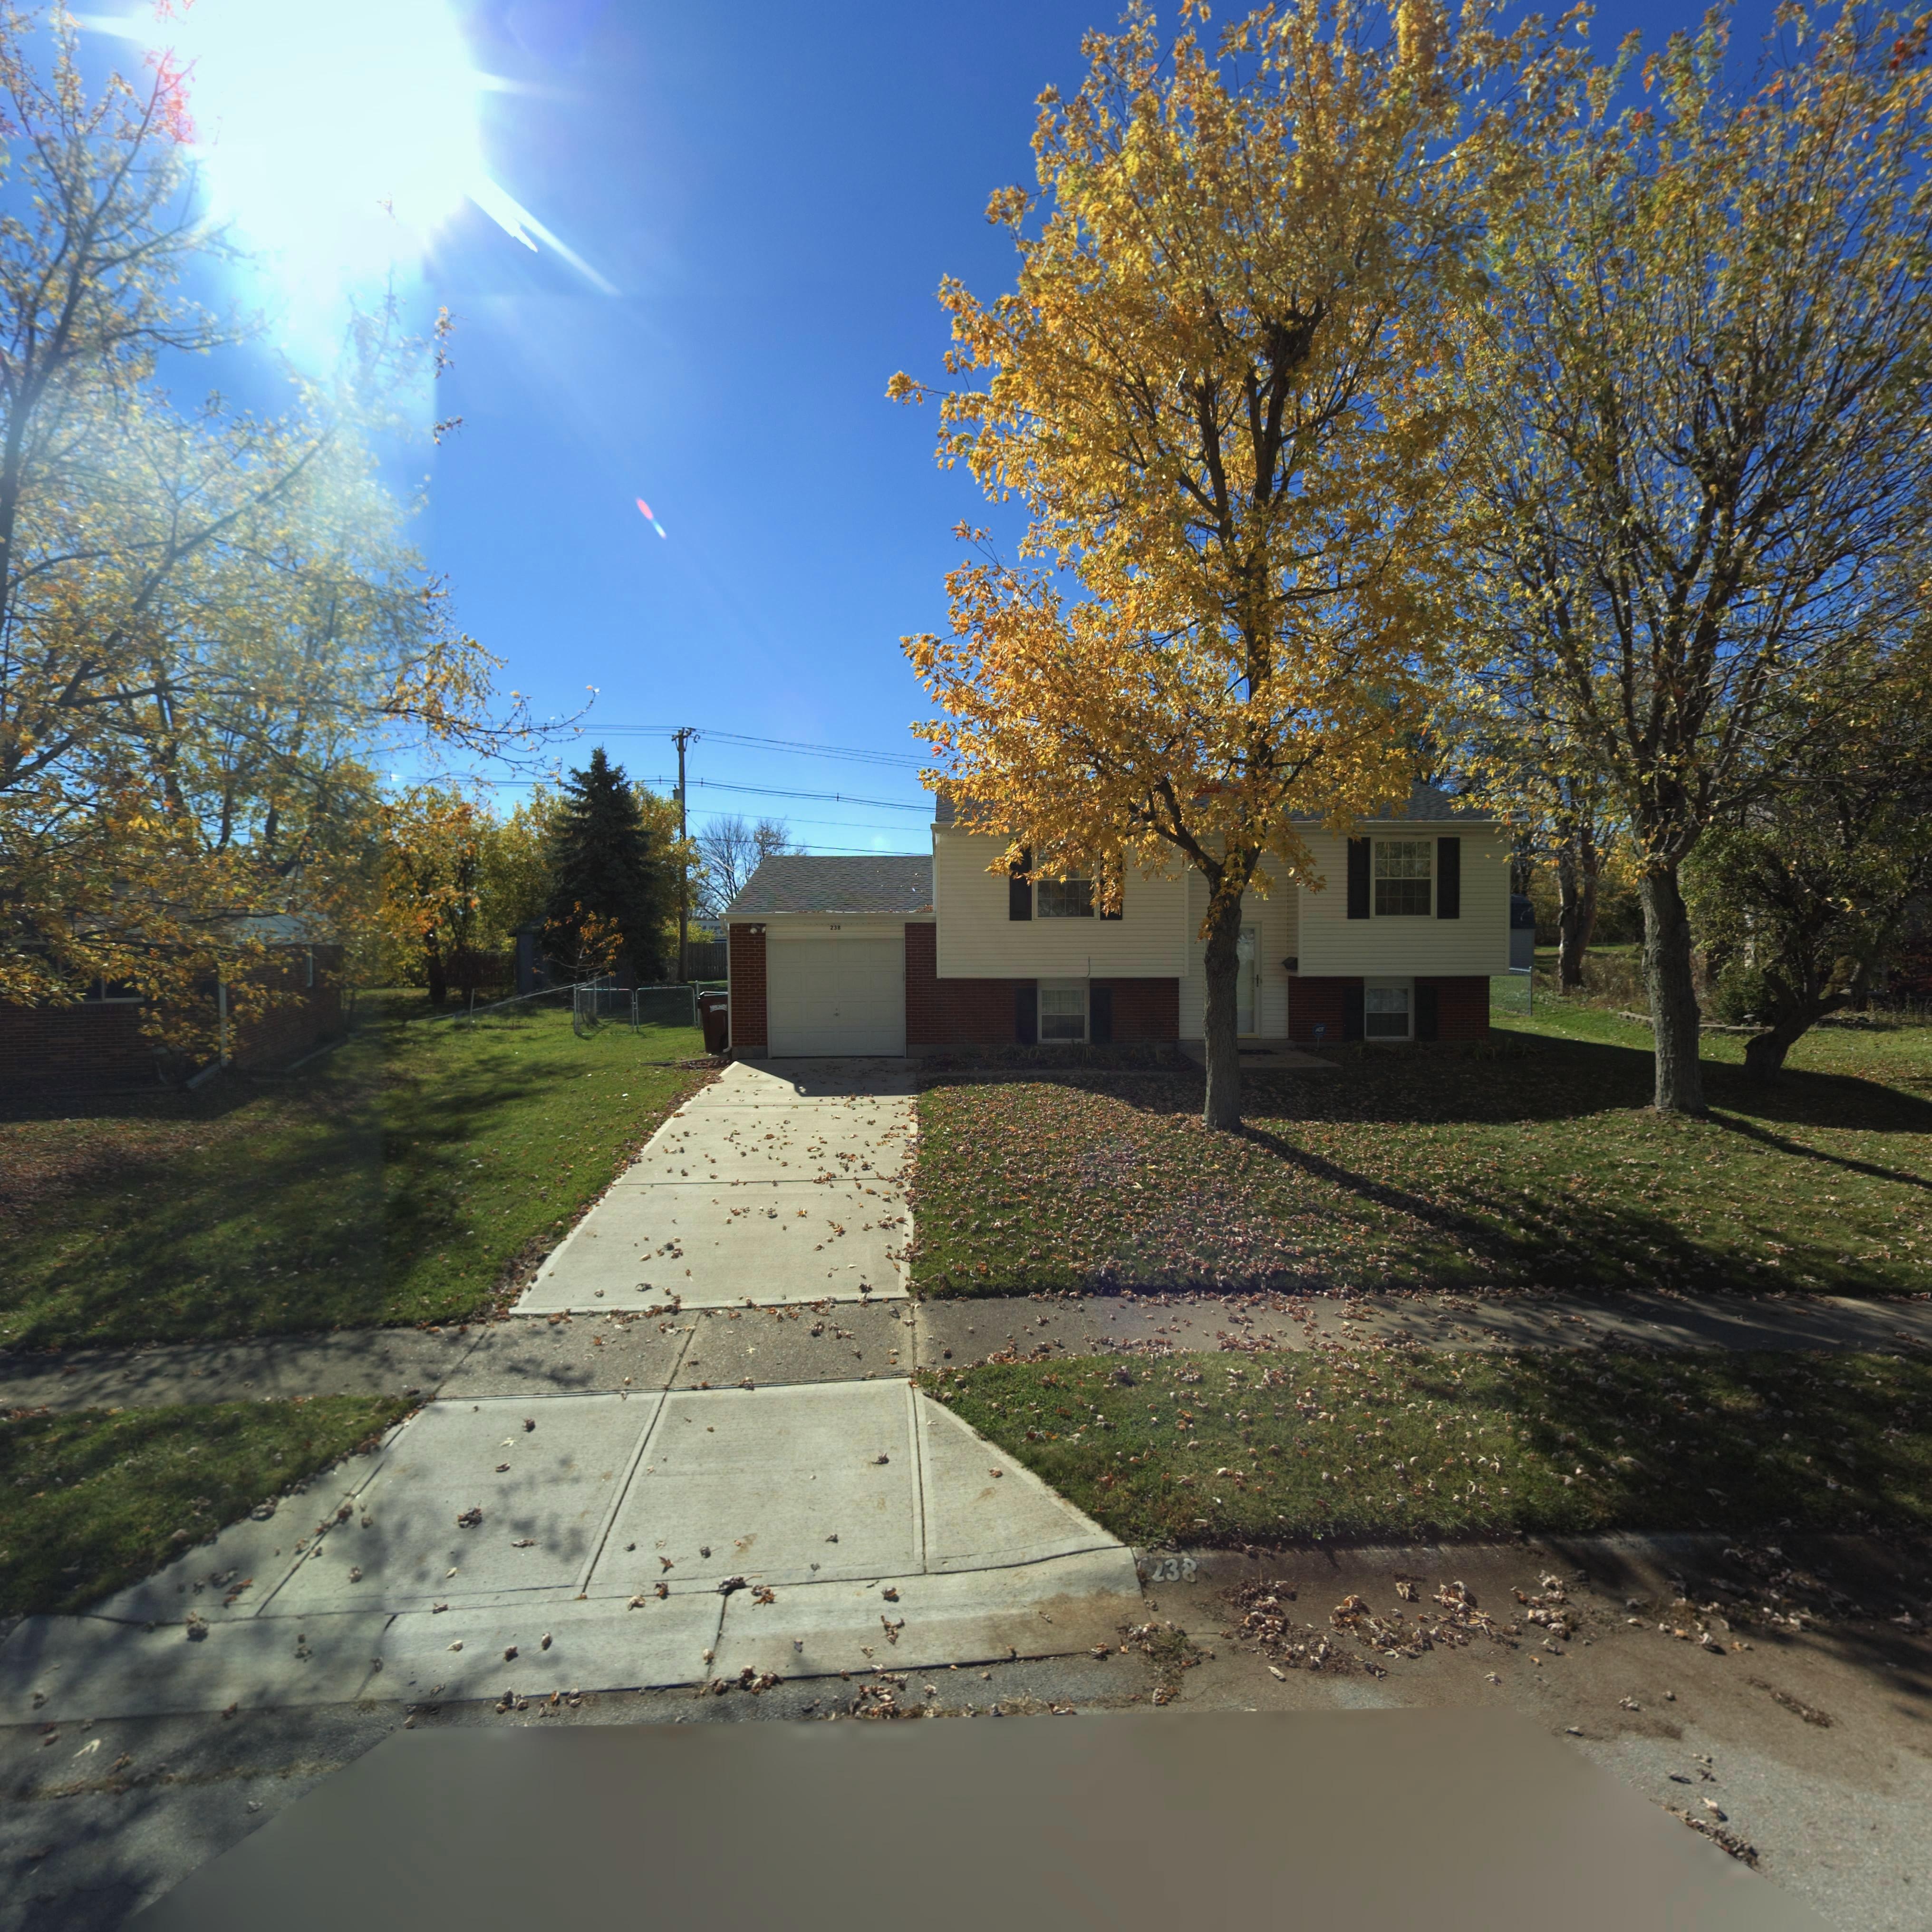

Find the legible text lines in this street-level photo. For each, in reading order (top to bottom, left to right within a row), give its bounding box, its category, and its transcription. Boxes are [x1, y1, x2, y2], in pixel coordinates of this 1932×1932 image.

[830, 925, 840, 930] StreetNumber: 238
[1149, 1558, 1198, 1584] StreetNumber: 238